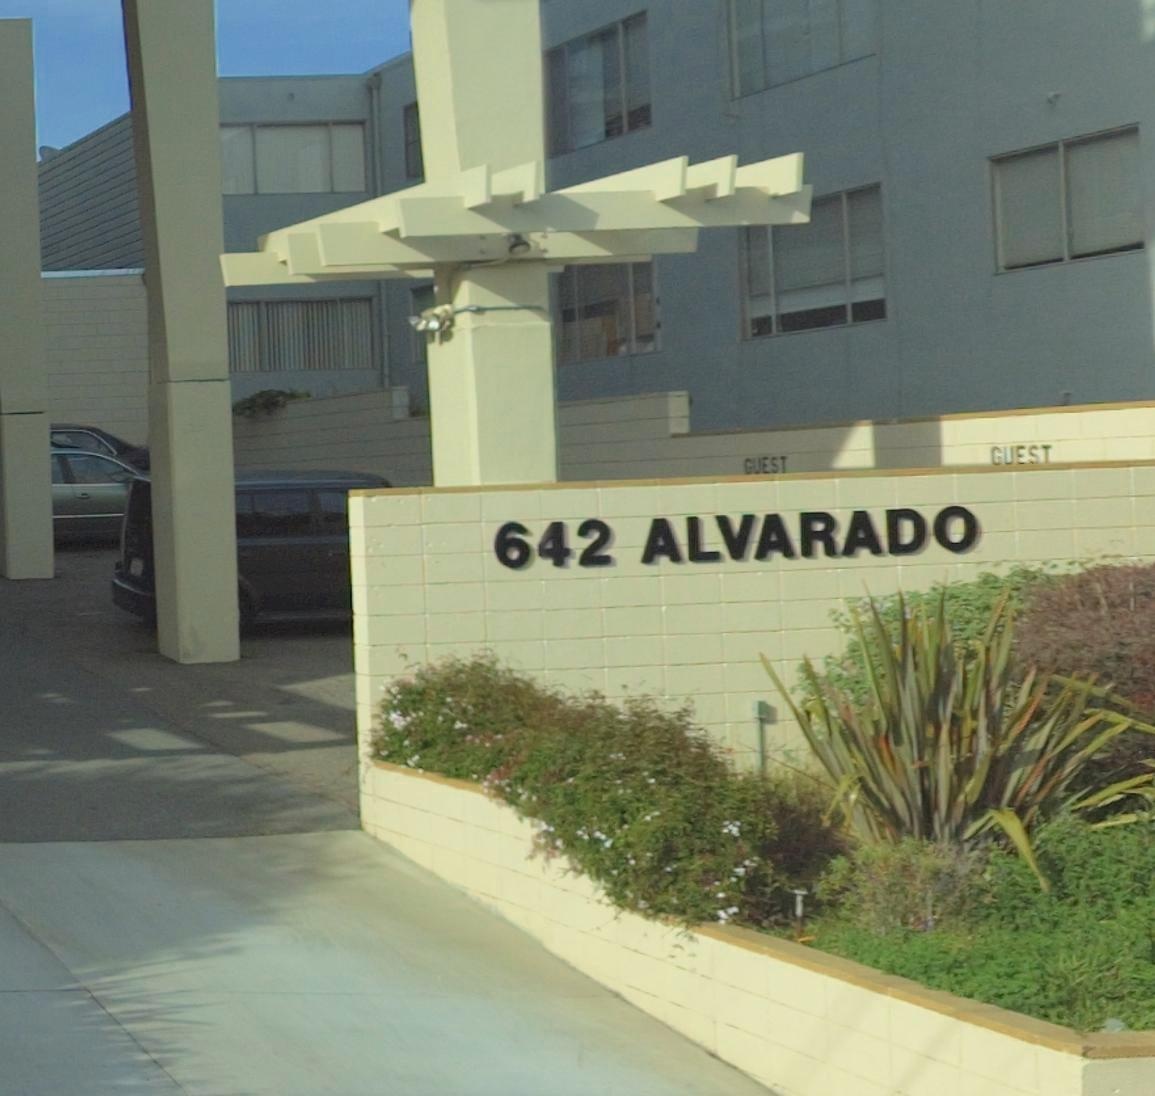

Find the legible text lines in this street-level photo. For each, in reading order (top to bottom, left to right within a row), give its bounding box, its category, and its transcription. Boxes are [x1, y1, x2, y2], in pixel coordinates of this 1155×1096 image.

[743, 454, 787, 474] None: GUEST
[990, 443, 1054, 465] None: GUEST
[490, 519, 613, 572] StreetNumber: 642
[640, 504, 979, 566] StreetName: ALVARADO